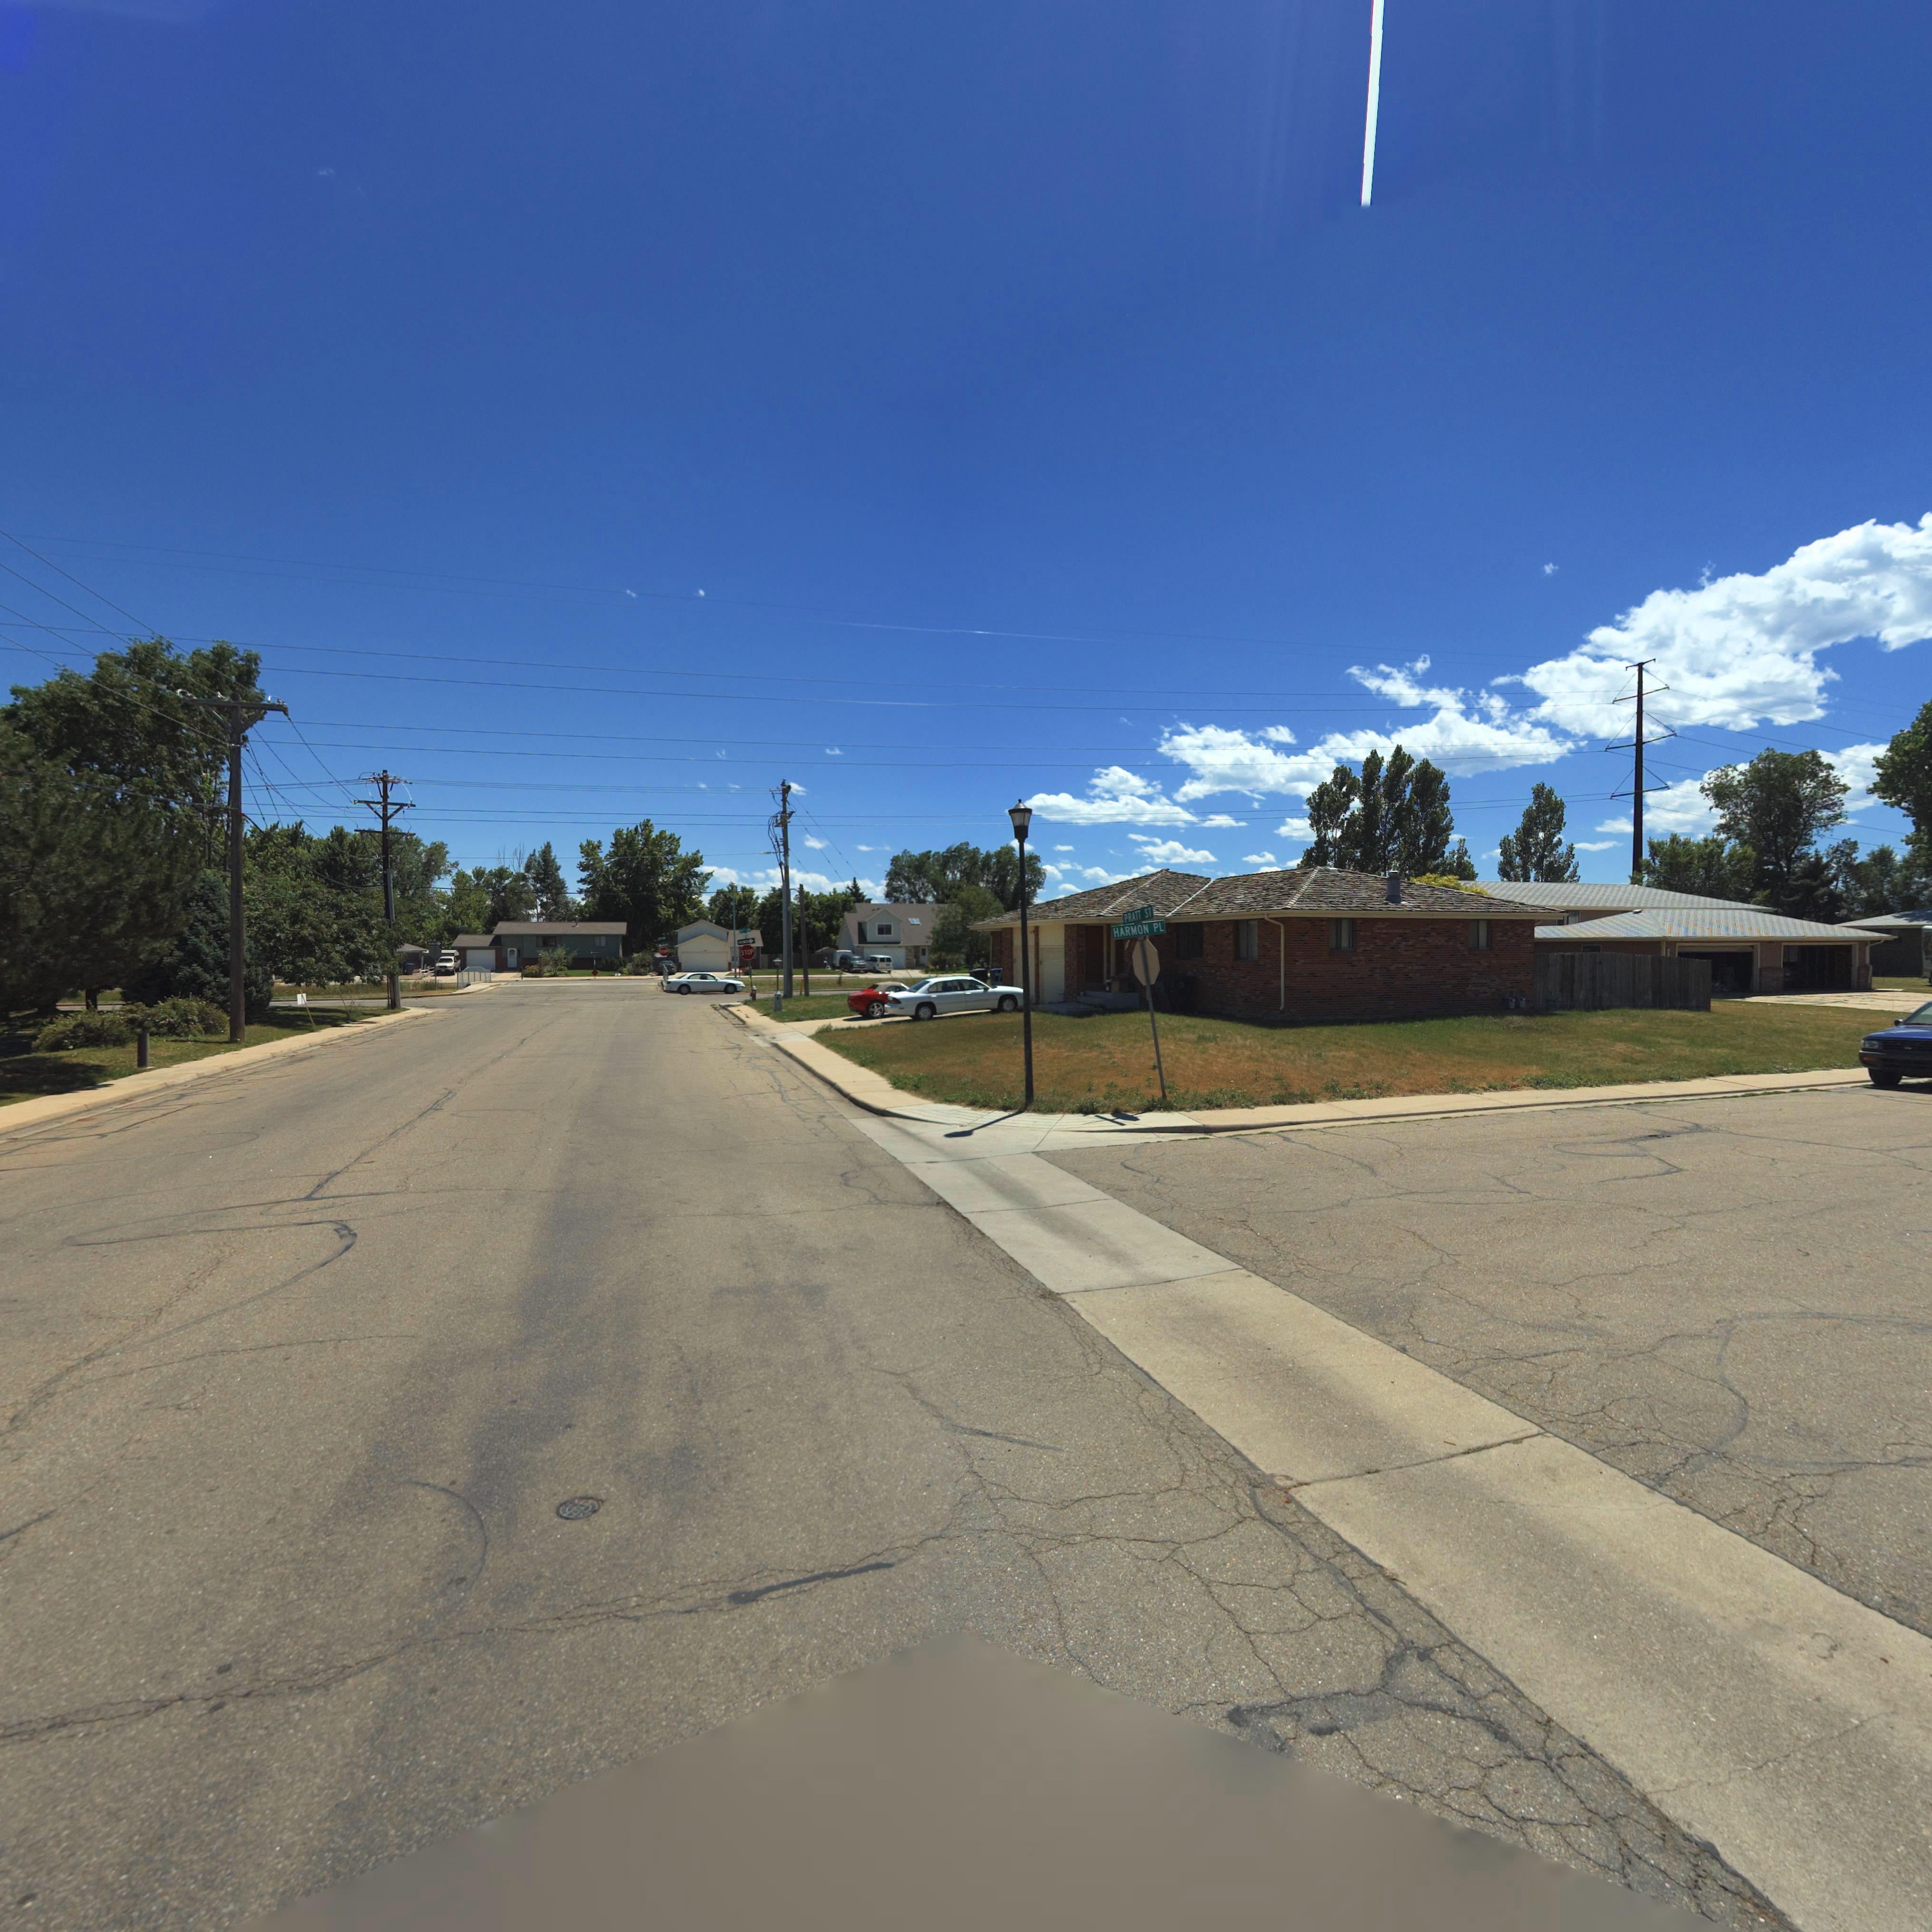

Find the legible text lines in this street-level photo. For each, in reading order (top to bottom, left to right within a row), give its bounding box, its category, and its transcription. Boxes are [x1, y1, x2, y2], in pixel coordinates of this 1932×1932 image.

[1123, 906, 1152, 924] StreetName: PRATT ST
[1112, 921, 1166, 937] StreetName: HARMON PL